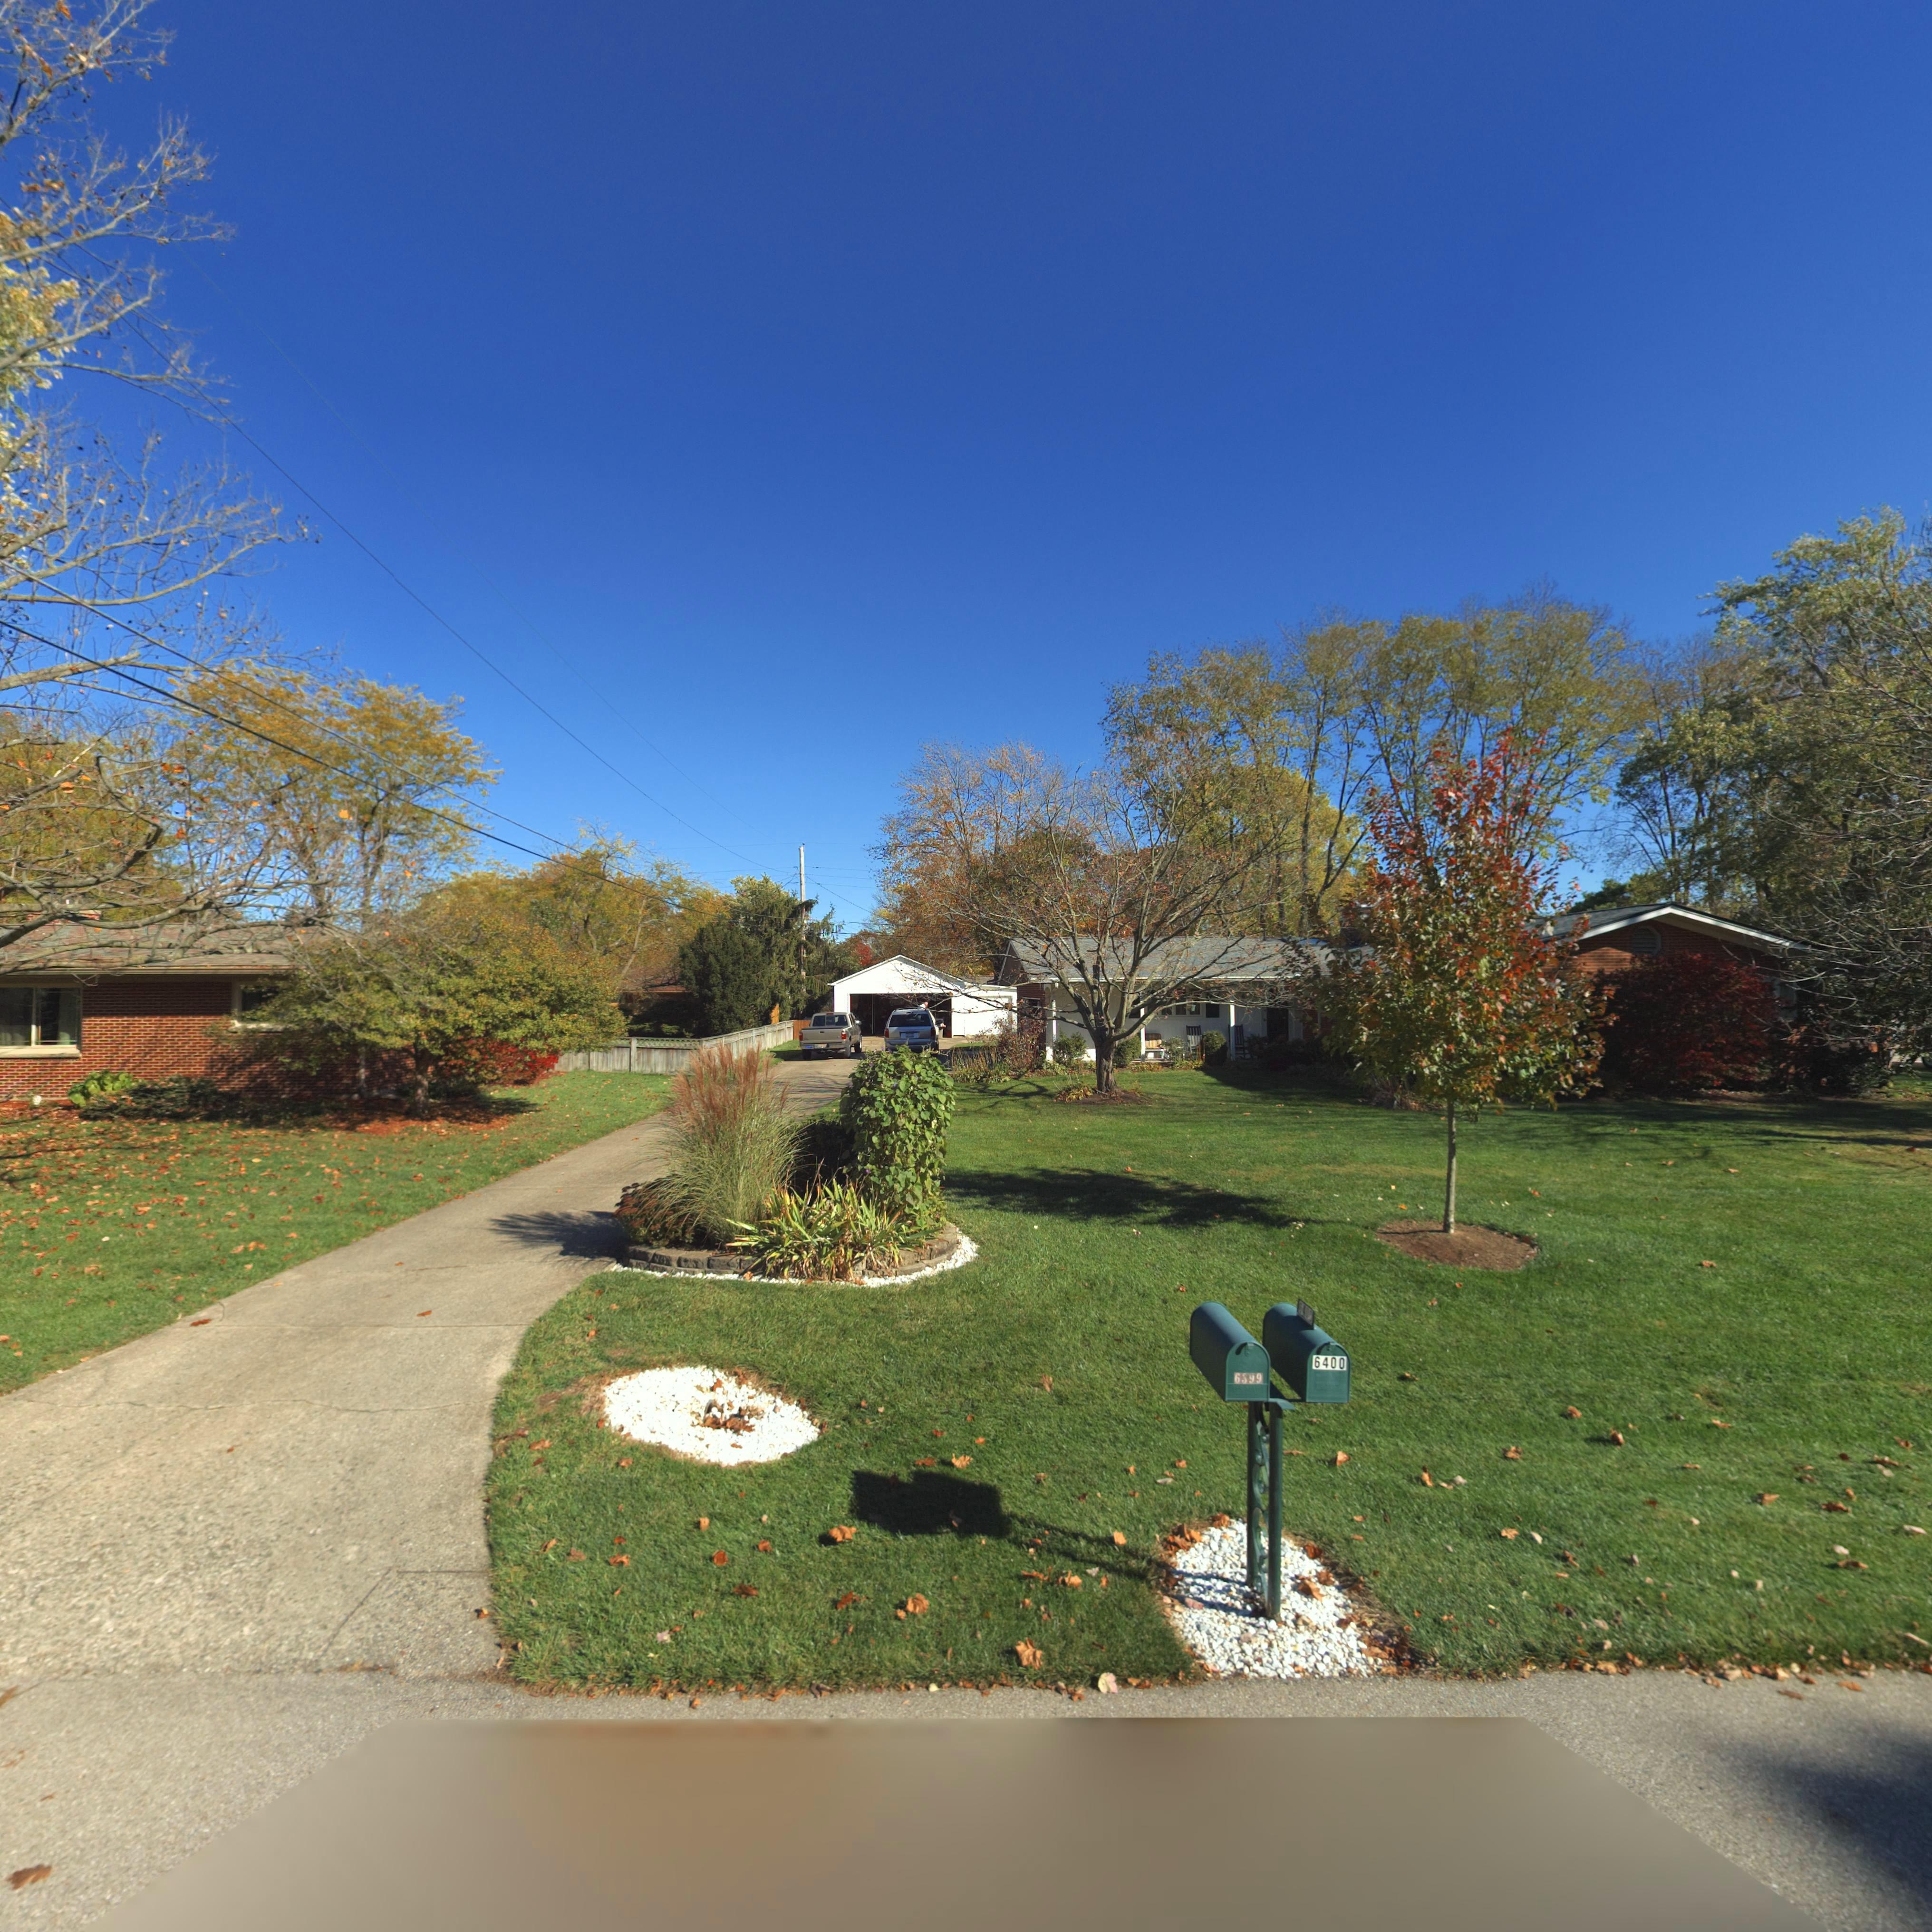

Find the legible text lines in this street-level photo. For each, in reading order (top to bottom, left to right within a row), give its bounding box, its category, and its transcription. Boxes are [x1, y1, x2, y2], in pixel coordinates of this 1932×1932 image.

[1241, 993, 1246, 999] StreetNumber: 6
[1298, 1300, 1314, 1326] StreetNumber: 6400
[1314, 1356, 1346, 1370] StreetNumber: 6400
[1234, 1372, 1263, 1385] StreetNumber: 6399